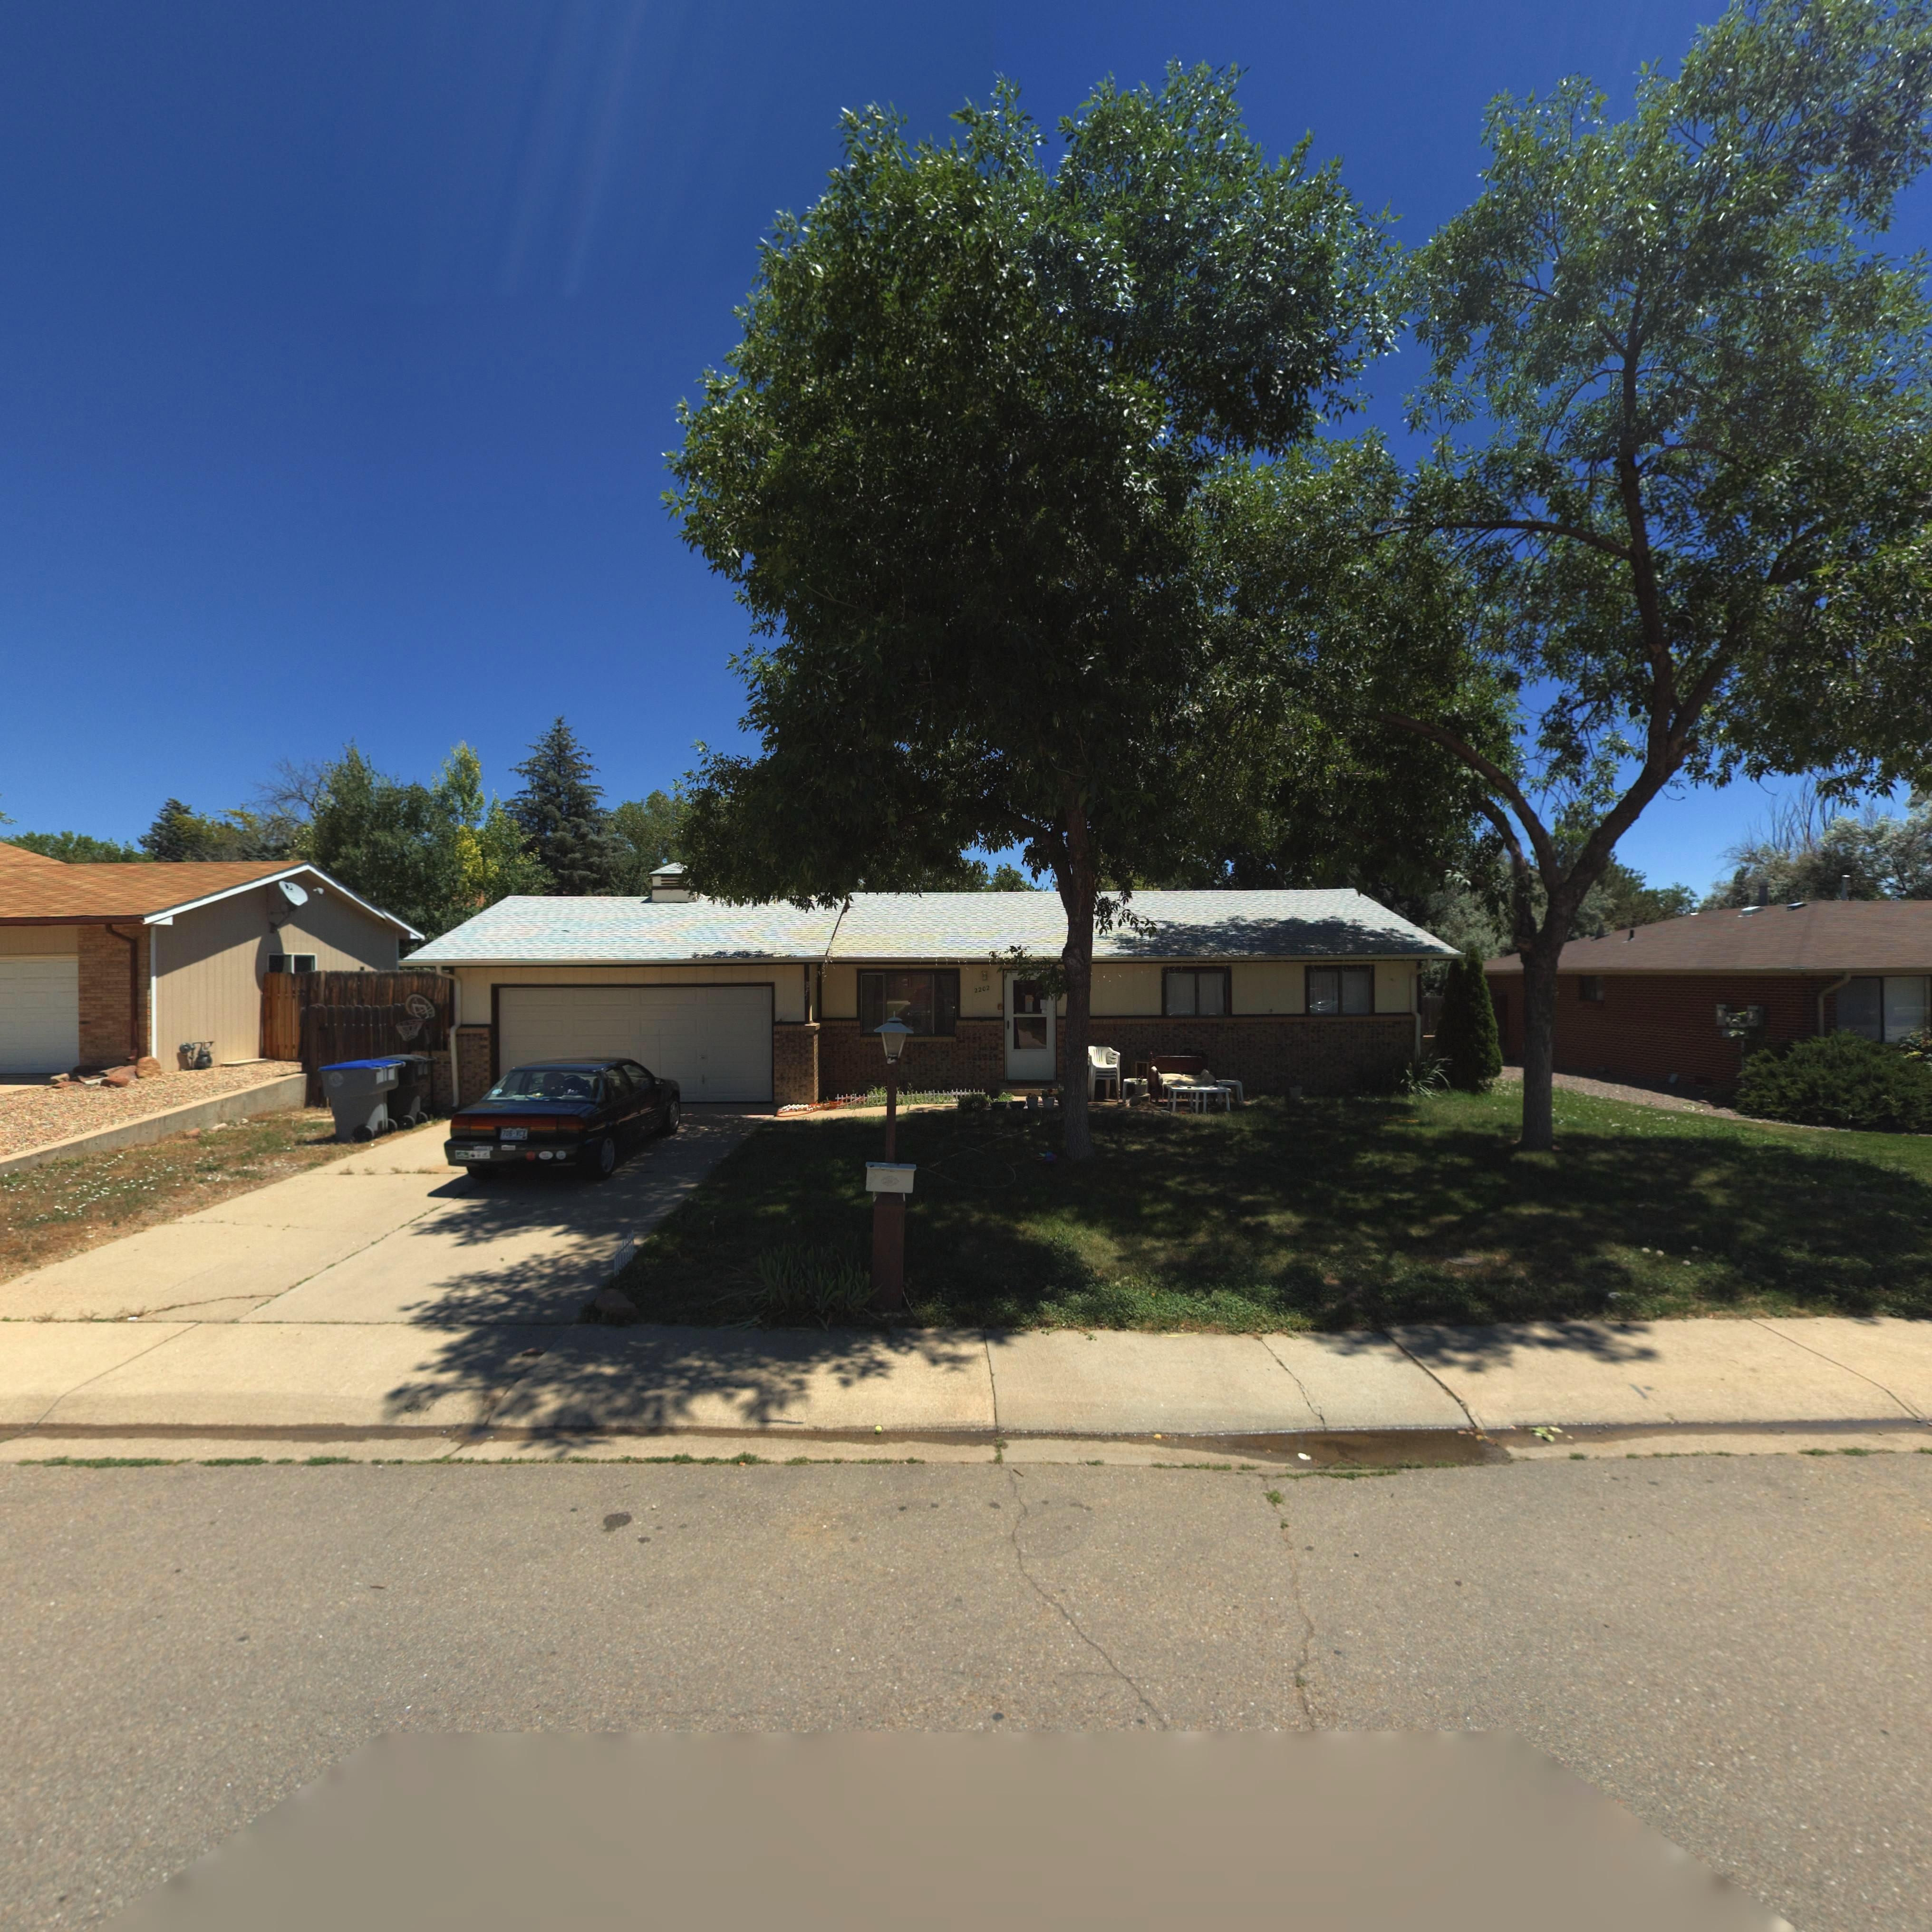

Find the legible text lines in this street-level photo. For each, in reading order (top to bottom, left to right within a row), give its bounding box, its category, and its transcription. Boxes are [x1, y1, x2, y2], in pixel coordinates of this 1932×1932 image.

[974, 985, 989, 993] StreetNumber: 2202